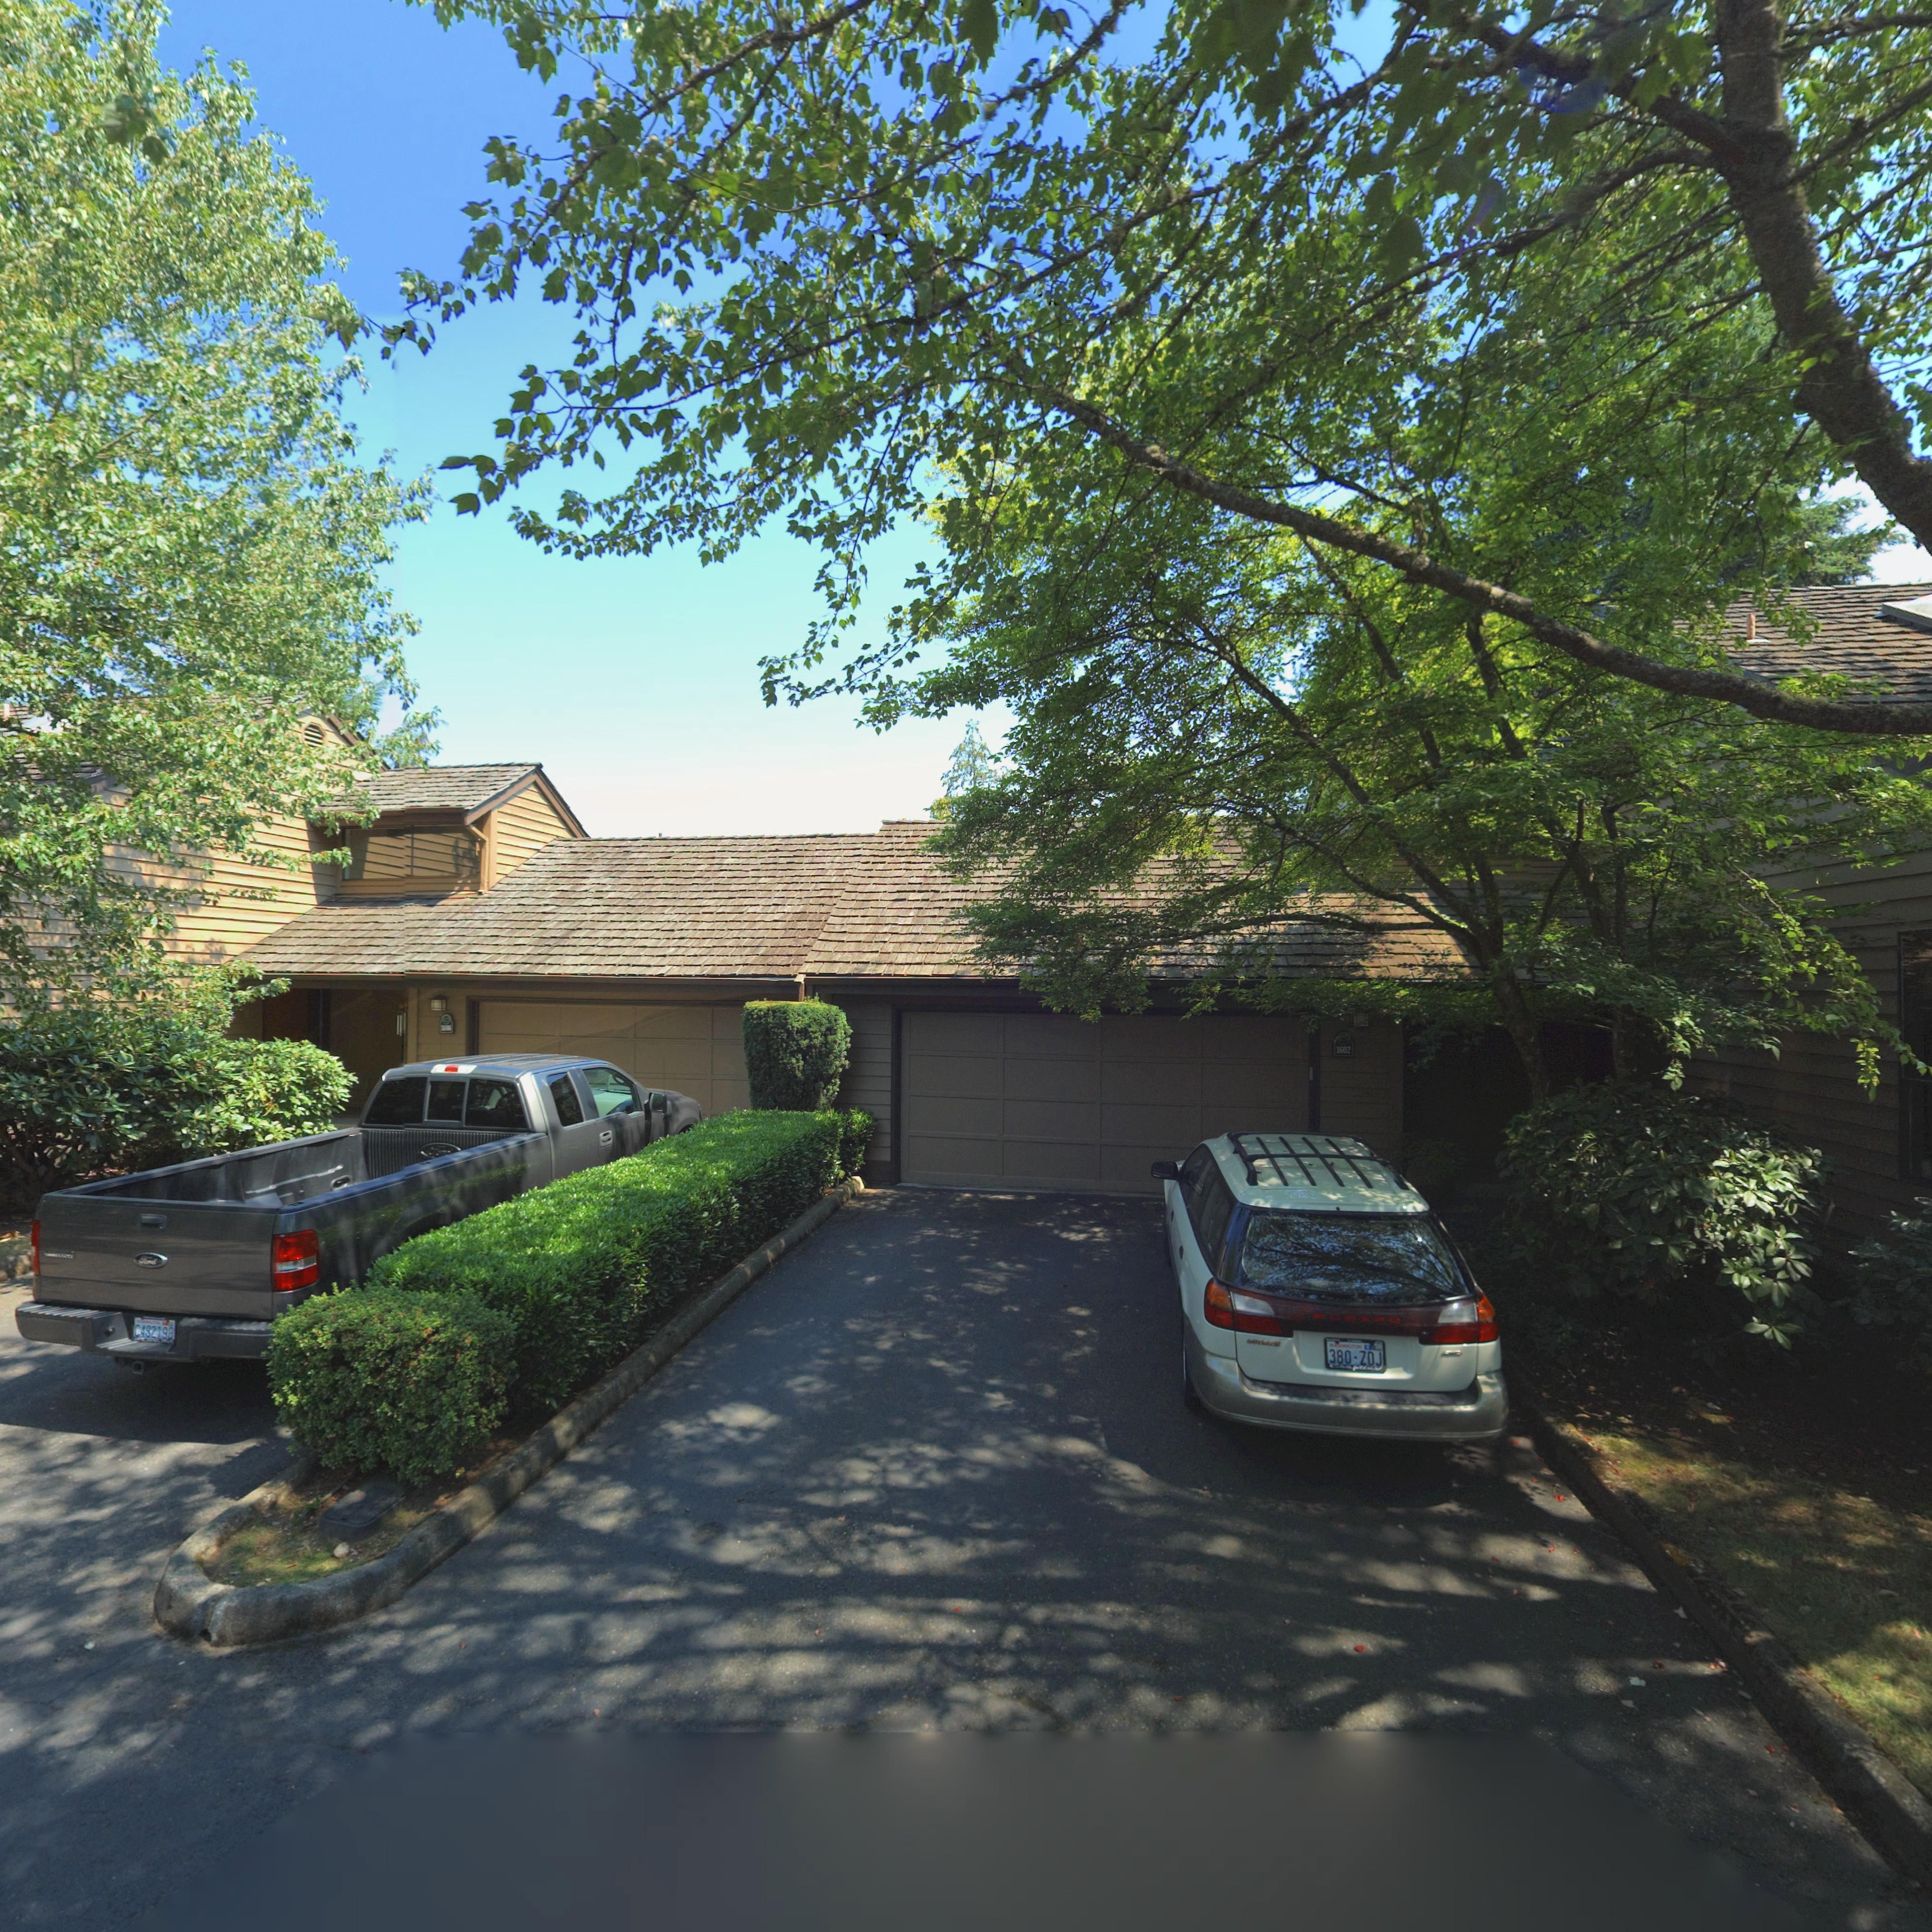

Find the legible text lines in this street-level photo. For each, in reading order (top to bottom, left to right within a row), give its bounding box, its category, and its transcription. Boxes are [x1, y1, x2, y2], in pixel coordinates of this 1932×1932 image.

[1336, 1045, 1351, 1054] StreetNumber: 1602